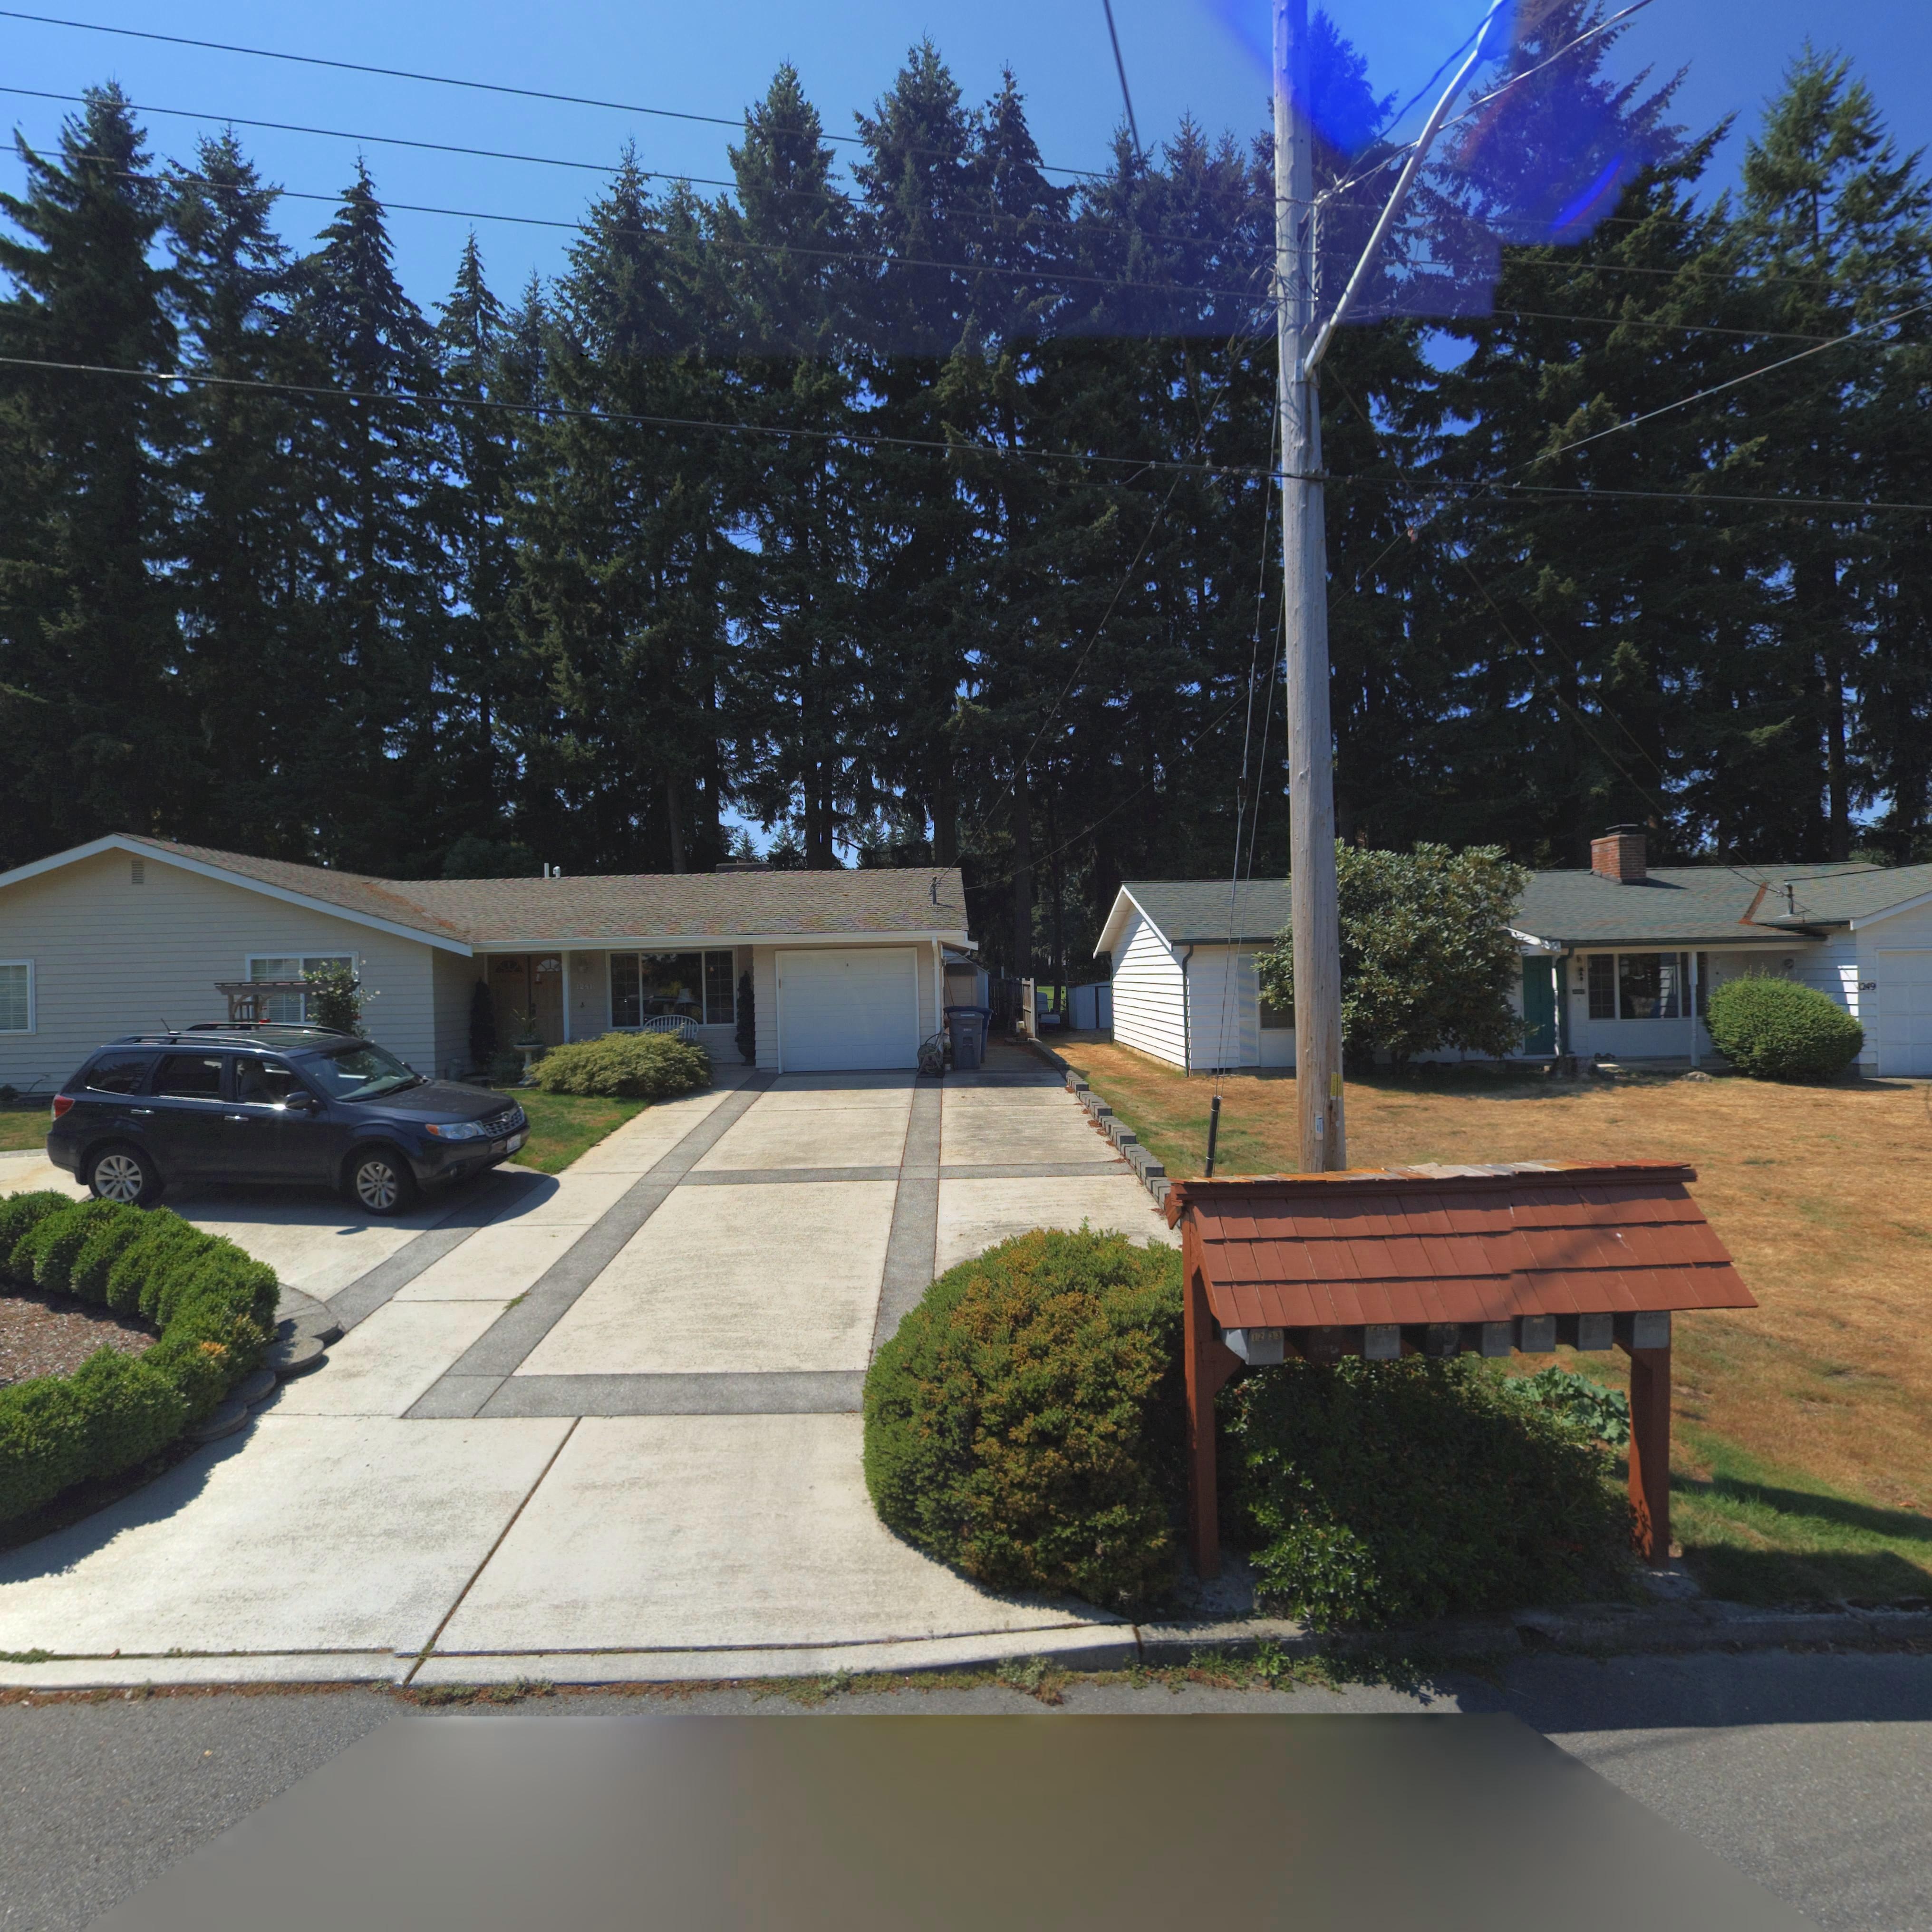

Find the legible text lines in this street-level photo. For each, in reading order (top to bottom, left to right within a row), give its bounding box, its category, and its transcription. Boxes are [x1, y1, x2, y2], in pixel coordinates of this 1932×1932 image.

[575, 983, 593, 989] StreetNumber: 1241
[1858, 982, 1877, 991] StreetNumber: 1249
[1368, 1324, 1396, 1331] StreetNumber: 1241
[1492, 1321, 1508, 1328] None: 1255
[1253, 1331, 1281, 1341] StreetNumber: 12*33